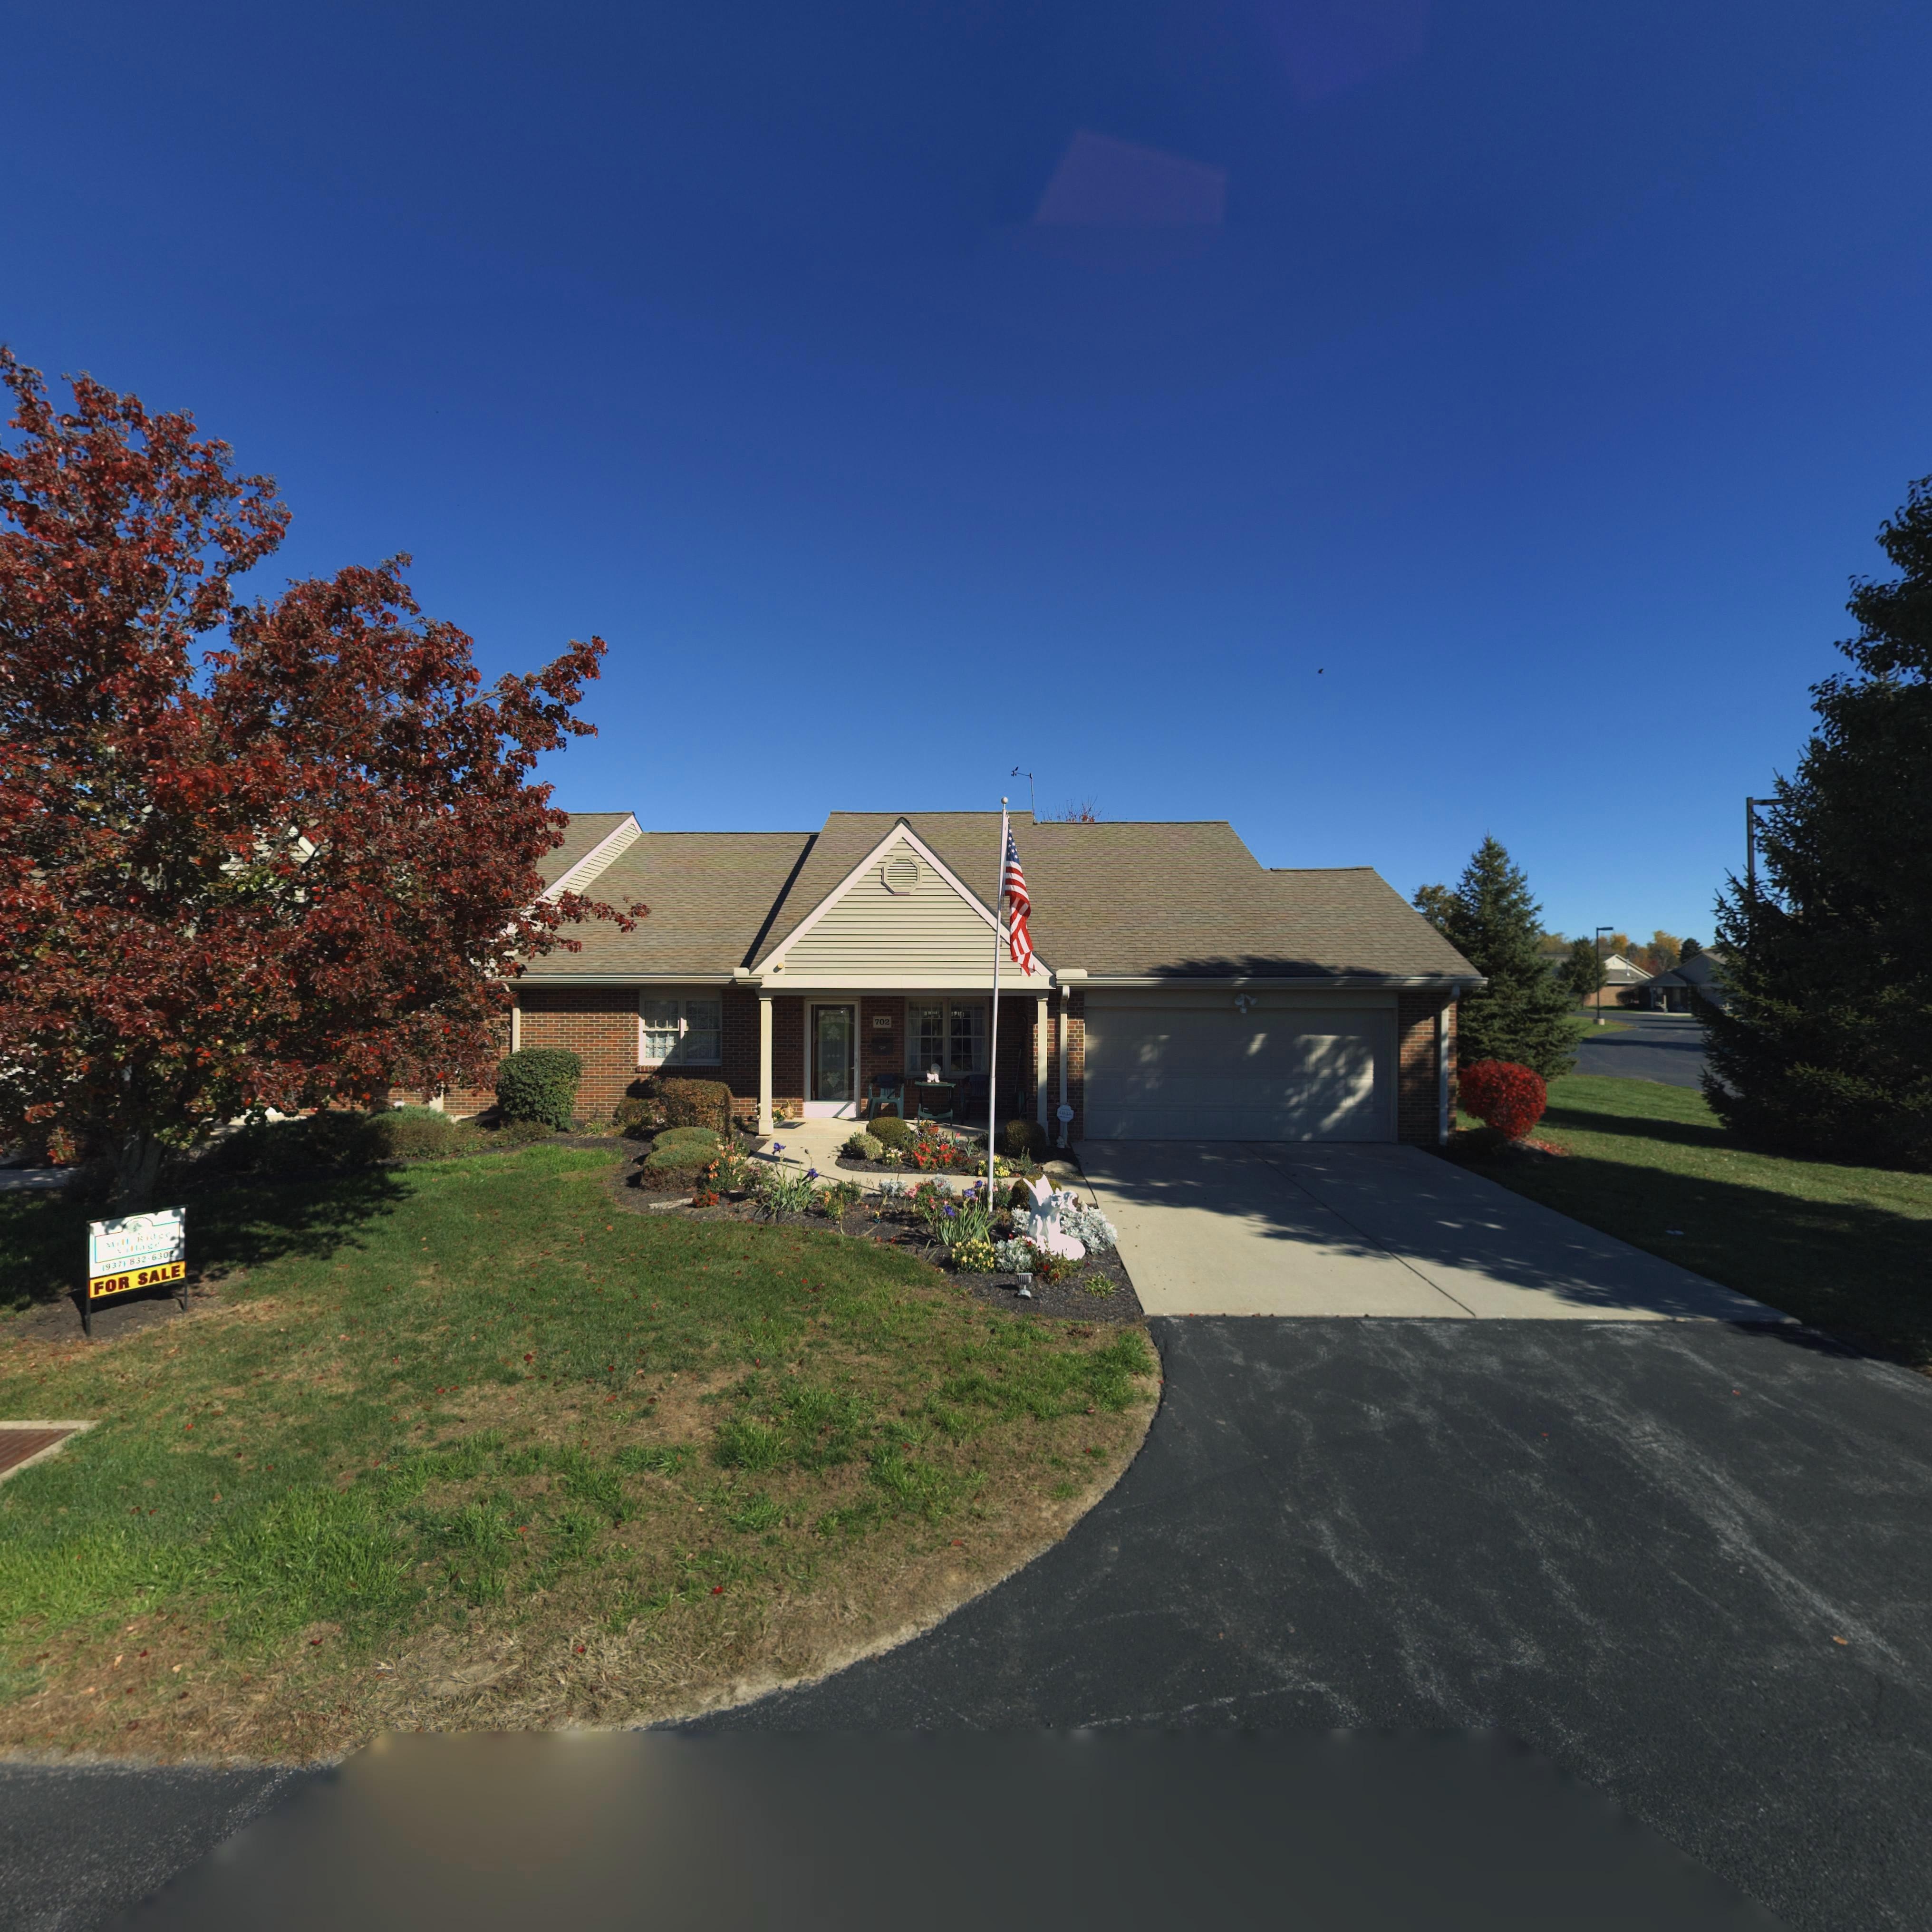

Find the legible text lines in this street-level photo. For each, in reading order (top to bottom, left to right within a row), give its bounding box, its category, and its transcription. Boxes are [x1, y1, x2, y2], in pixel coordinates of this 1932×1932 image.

[874, 1018, 890, 1025] StreetNumber: 702
[103, 1249, 175, 1273] None: (937) 832-6302
[92, 1264, 180, 1298] None: FOR SALE